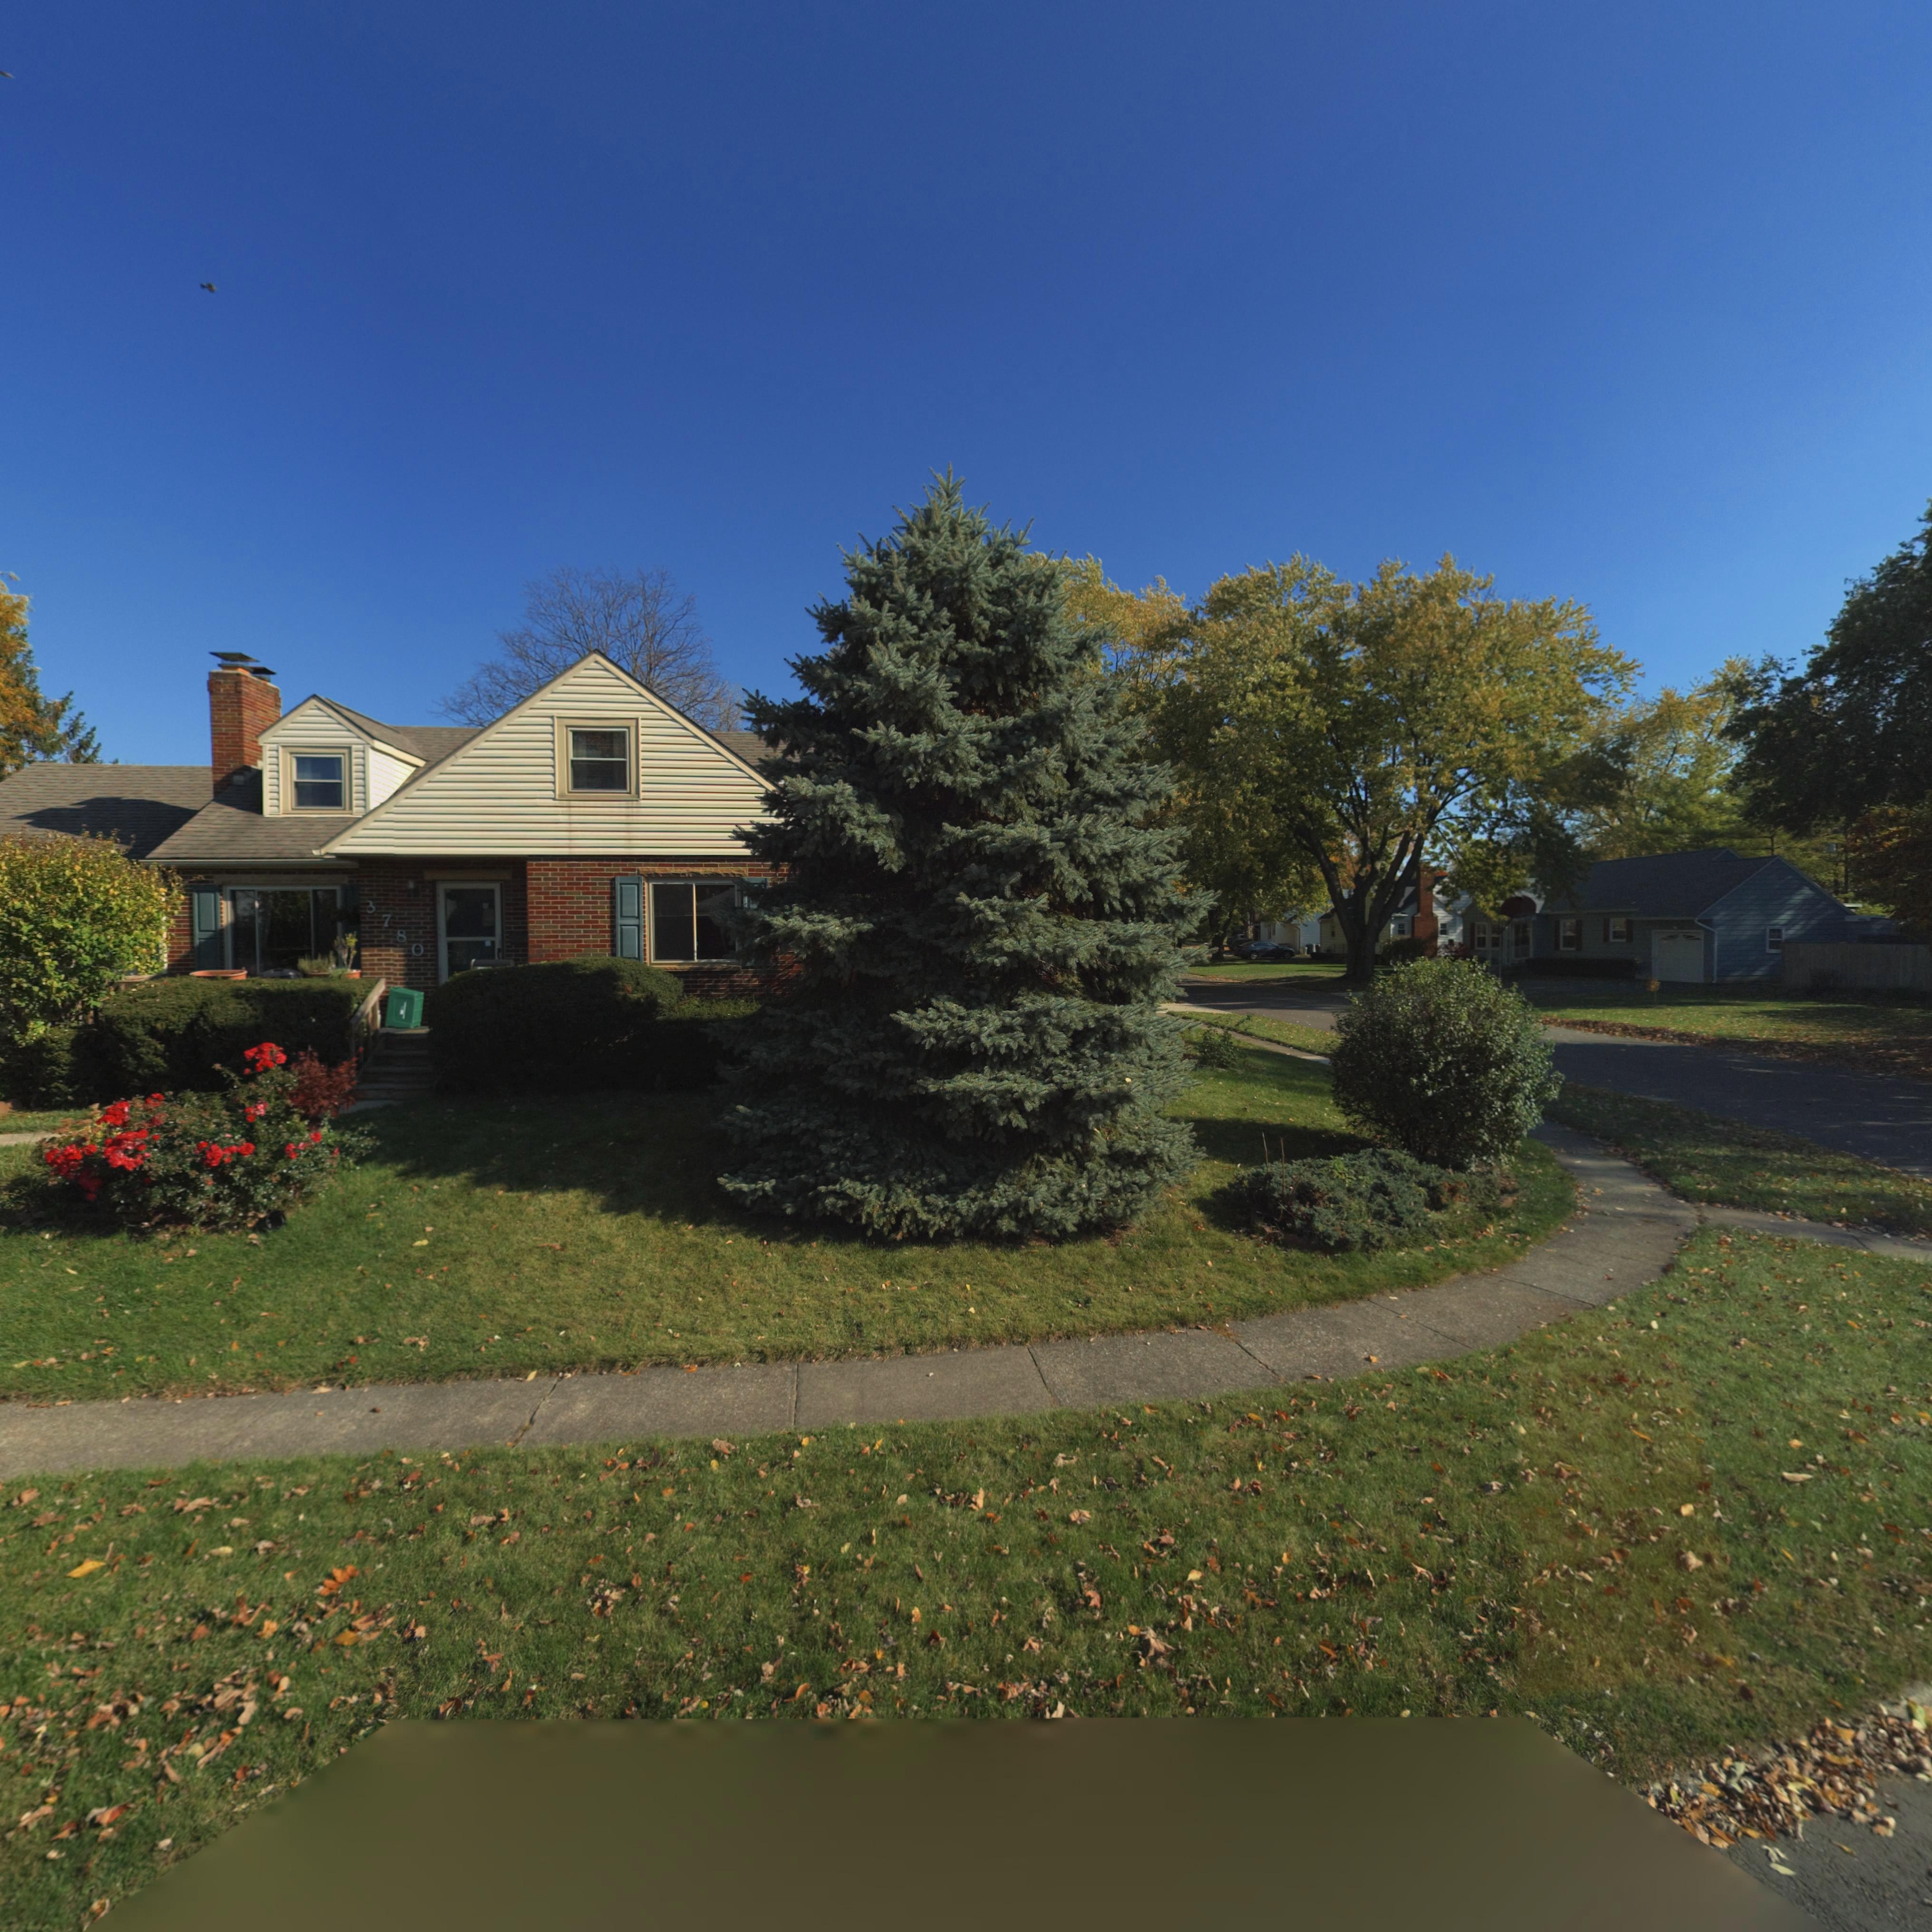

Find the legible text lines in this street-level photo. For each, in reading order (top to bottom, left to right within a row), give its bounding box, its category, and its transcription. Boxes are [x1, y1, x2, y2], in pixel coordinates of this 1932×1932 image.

[364, 900, 425, 957] StreetNumber: 3780